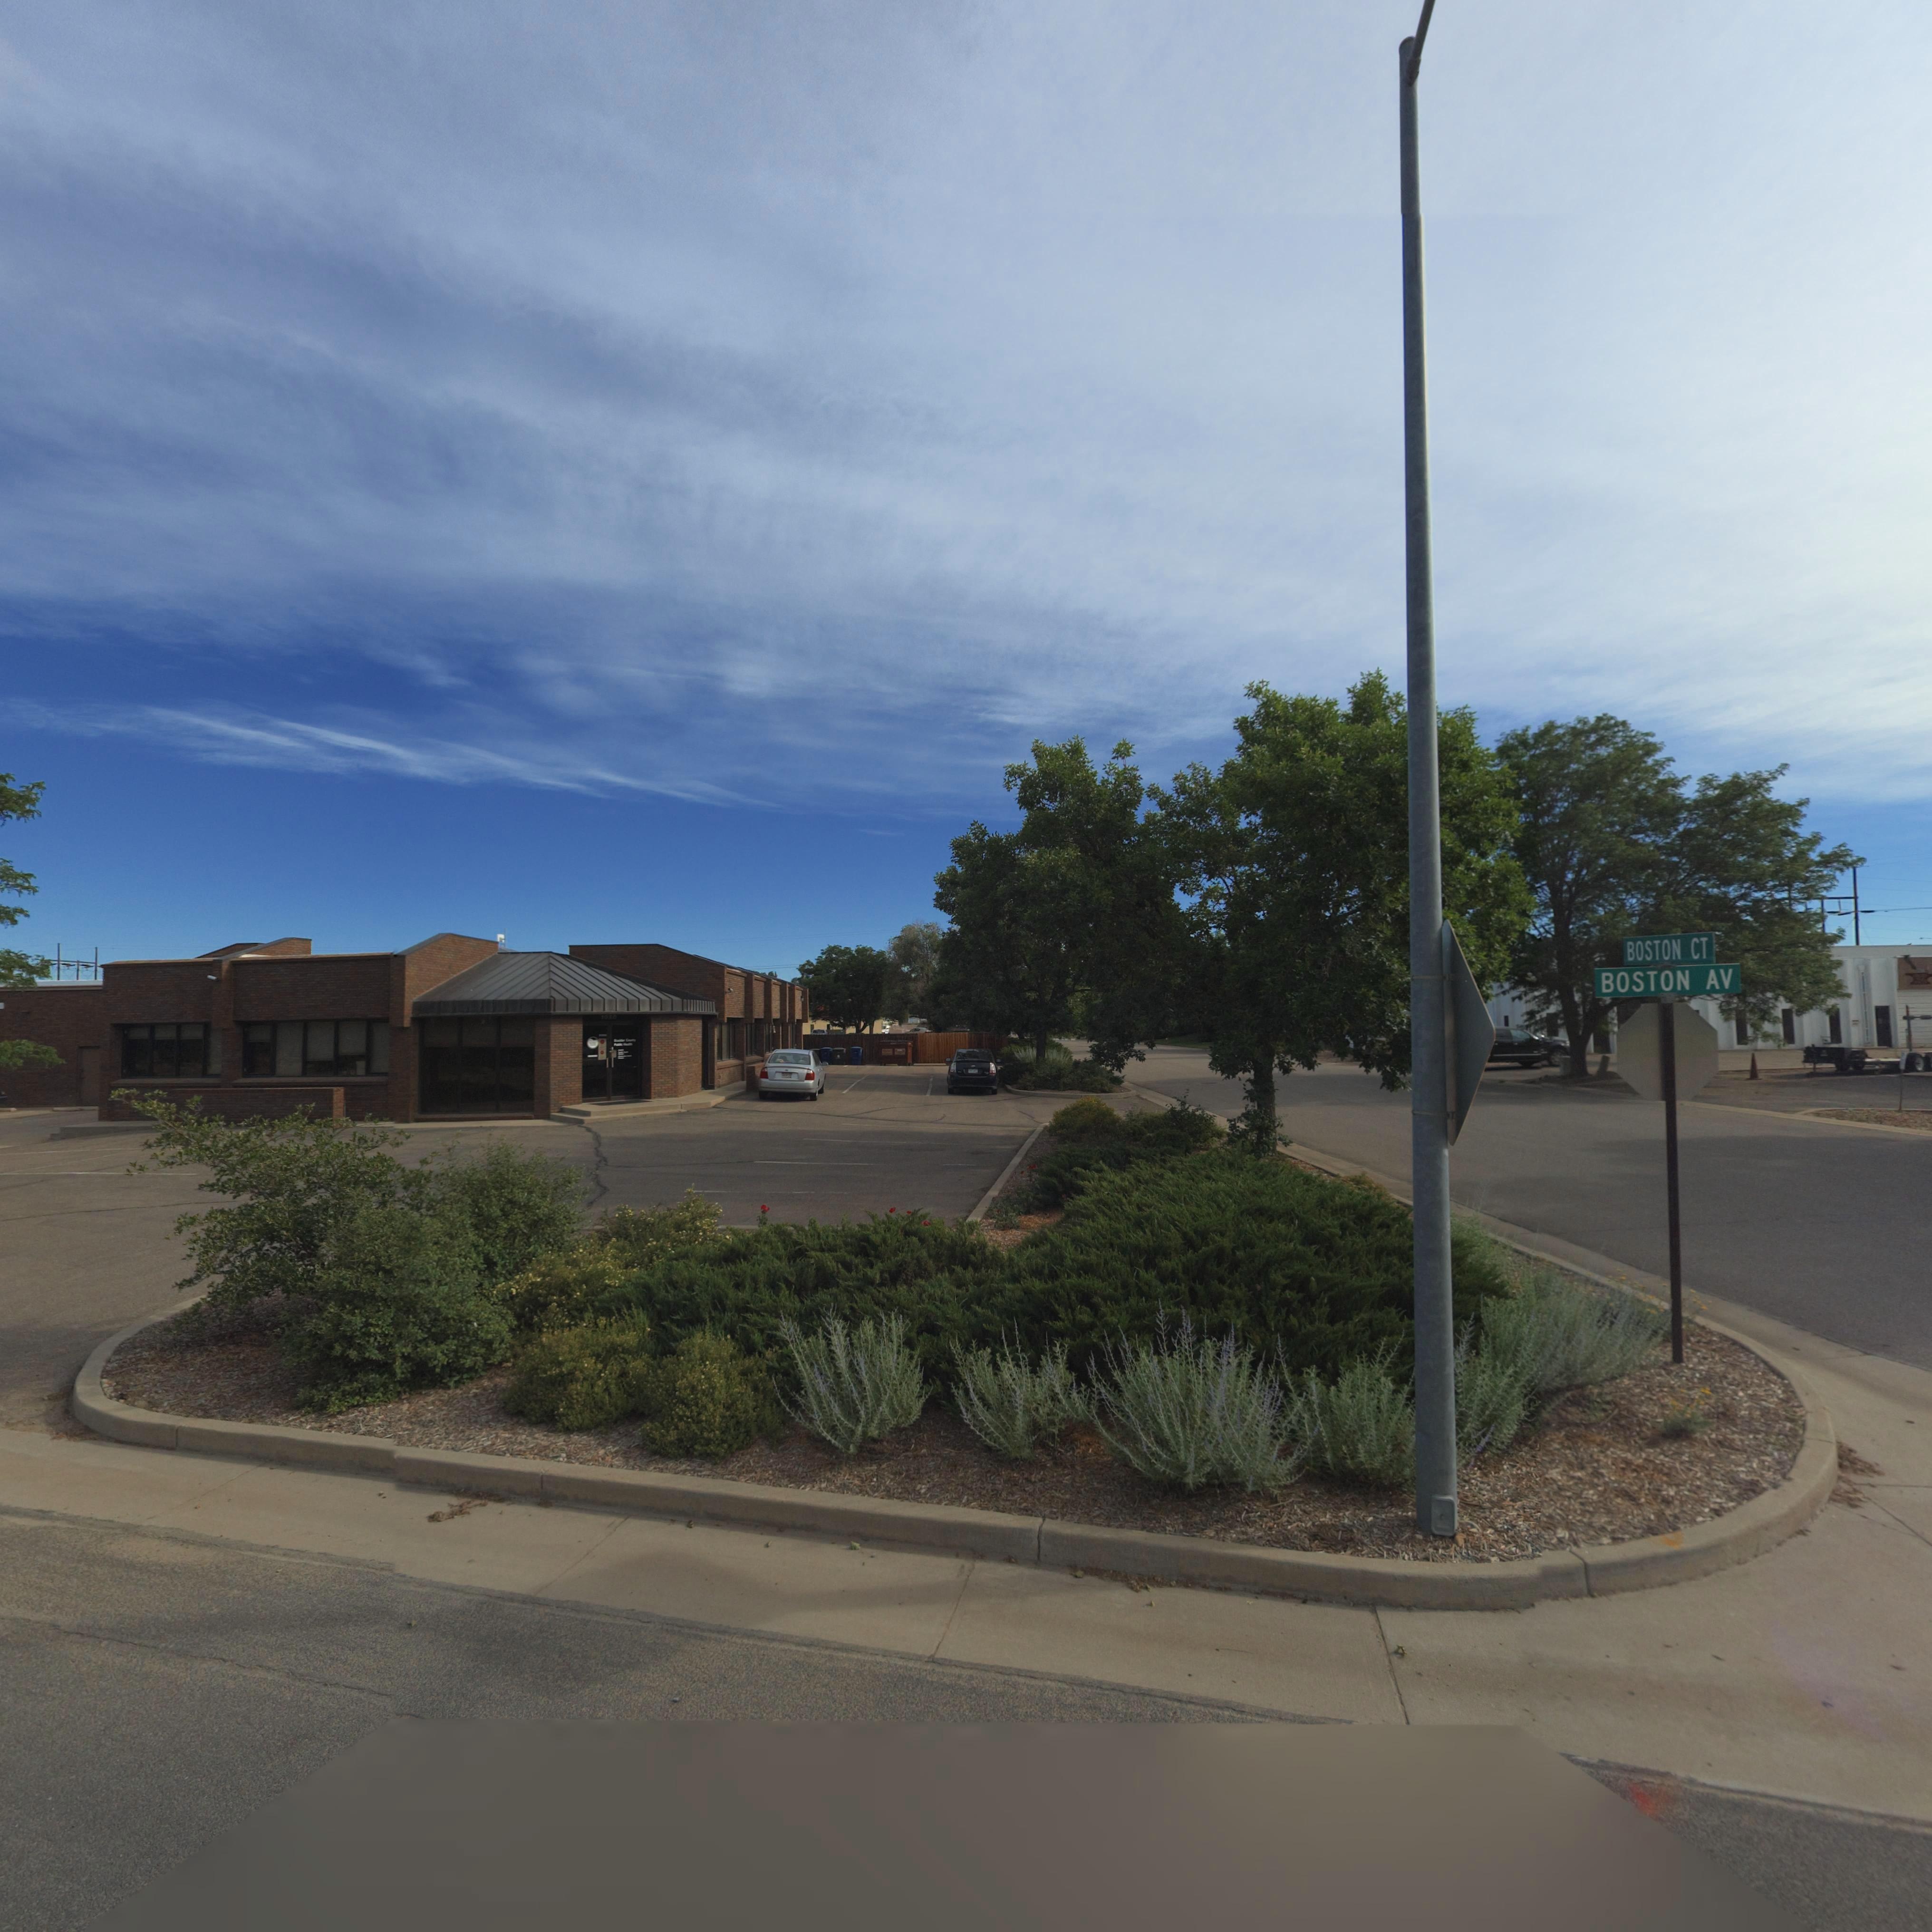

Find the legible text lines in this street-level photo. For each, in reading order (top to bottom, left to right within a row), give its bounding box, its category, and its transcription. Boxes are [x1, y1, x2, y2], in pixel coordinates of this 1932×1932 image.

[1626, 937, 1708, 961] StreetName: BOSTON CT
[1600, 968, 1734, 993] StreetName: BOSTON AV
[600, 1014, 617, 1019] StreetNumber: 1030
[614, 1038, 636, 1042] BusinessName: Boulder County